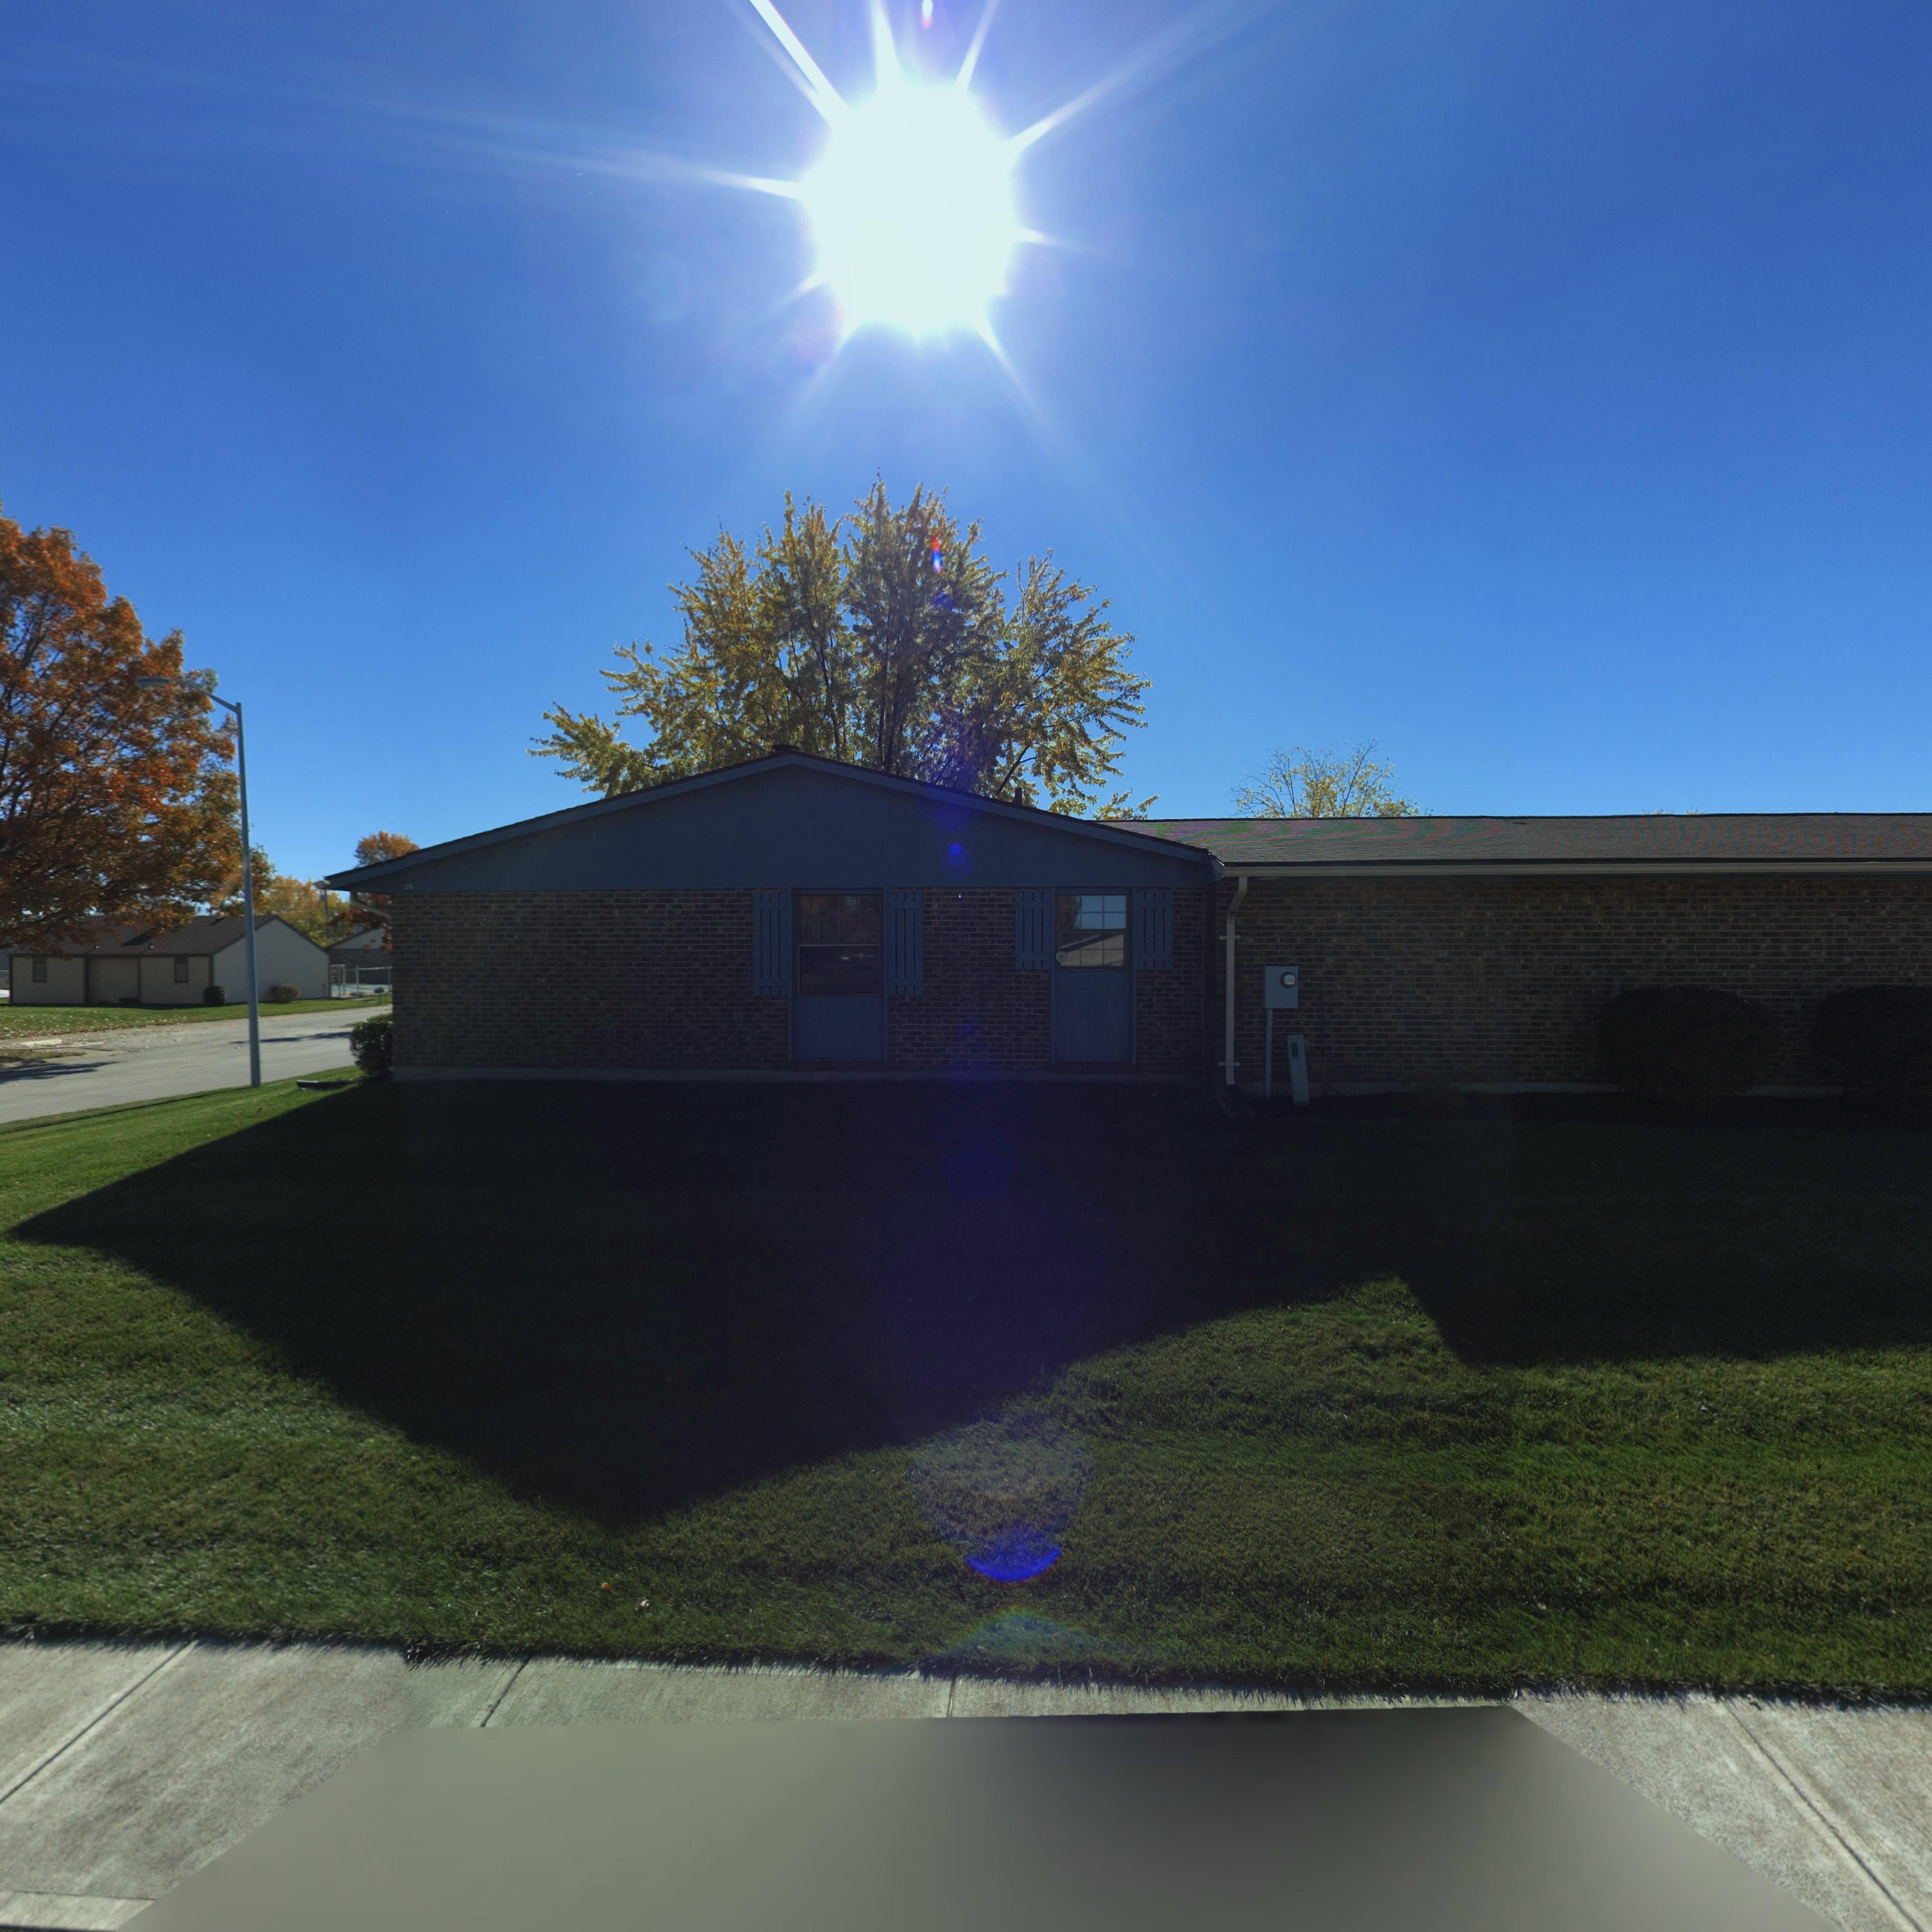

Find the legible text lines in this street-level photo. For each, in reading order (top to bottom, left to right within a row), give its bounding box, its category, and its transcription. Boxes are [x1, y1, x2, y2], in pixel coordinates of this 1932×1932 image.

[404, 882, 415, 891] StreetNumber: 06